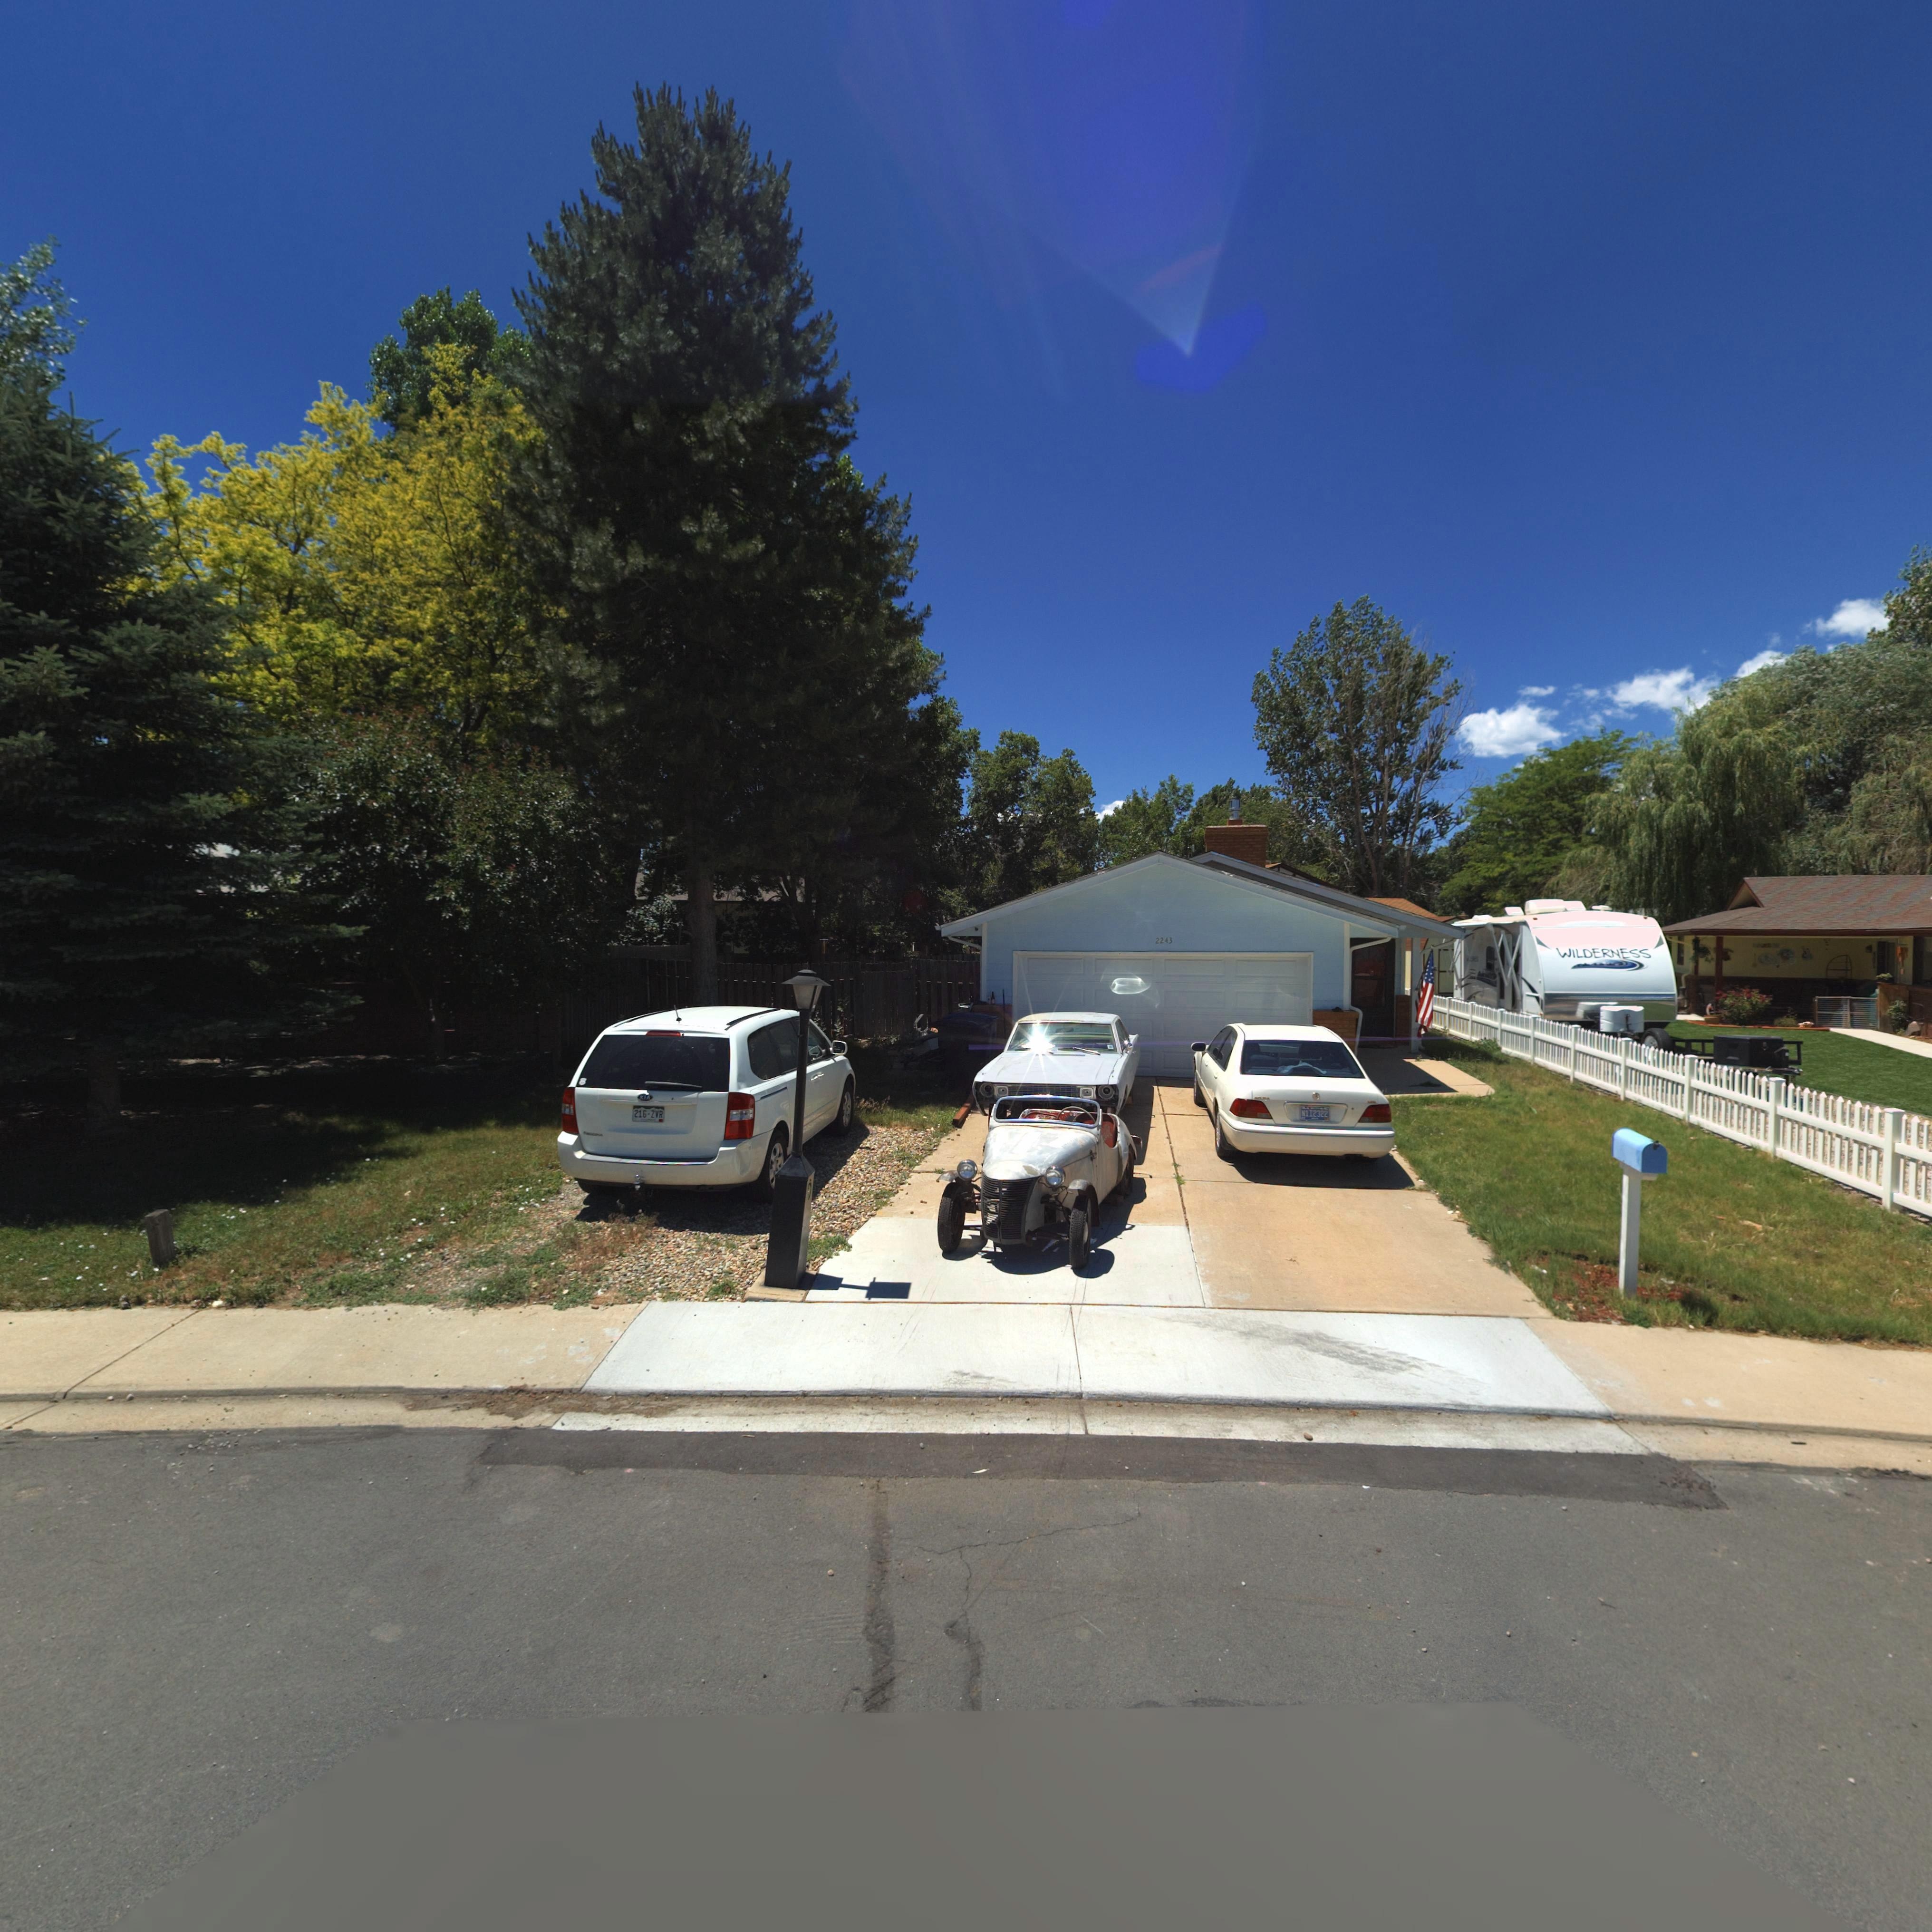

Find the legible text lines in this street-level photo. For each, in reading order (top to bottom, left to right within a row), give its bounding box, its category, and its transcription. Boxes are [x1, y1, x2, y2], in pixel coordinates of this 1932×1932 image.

[1155, 936, 1172, 944] StreetNumber: 2243